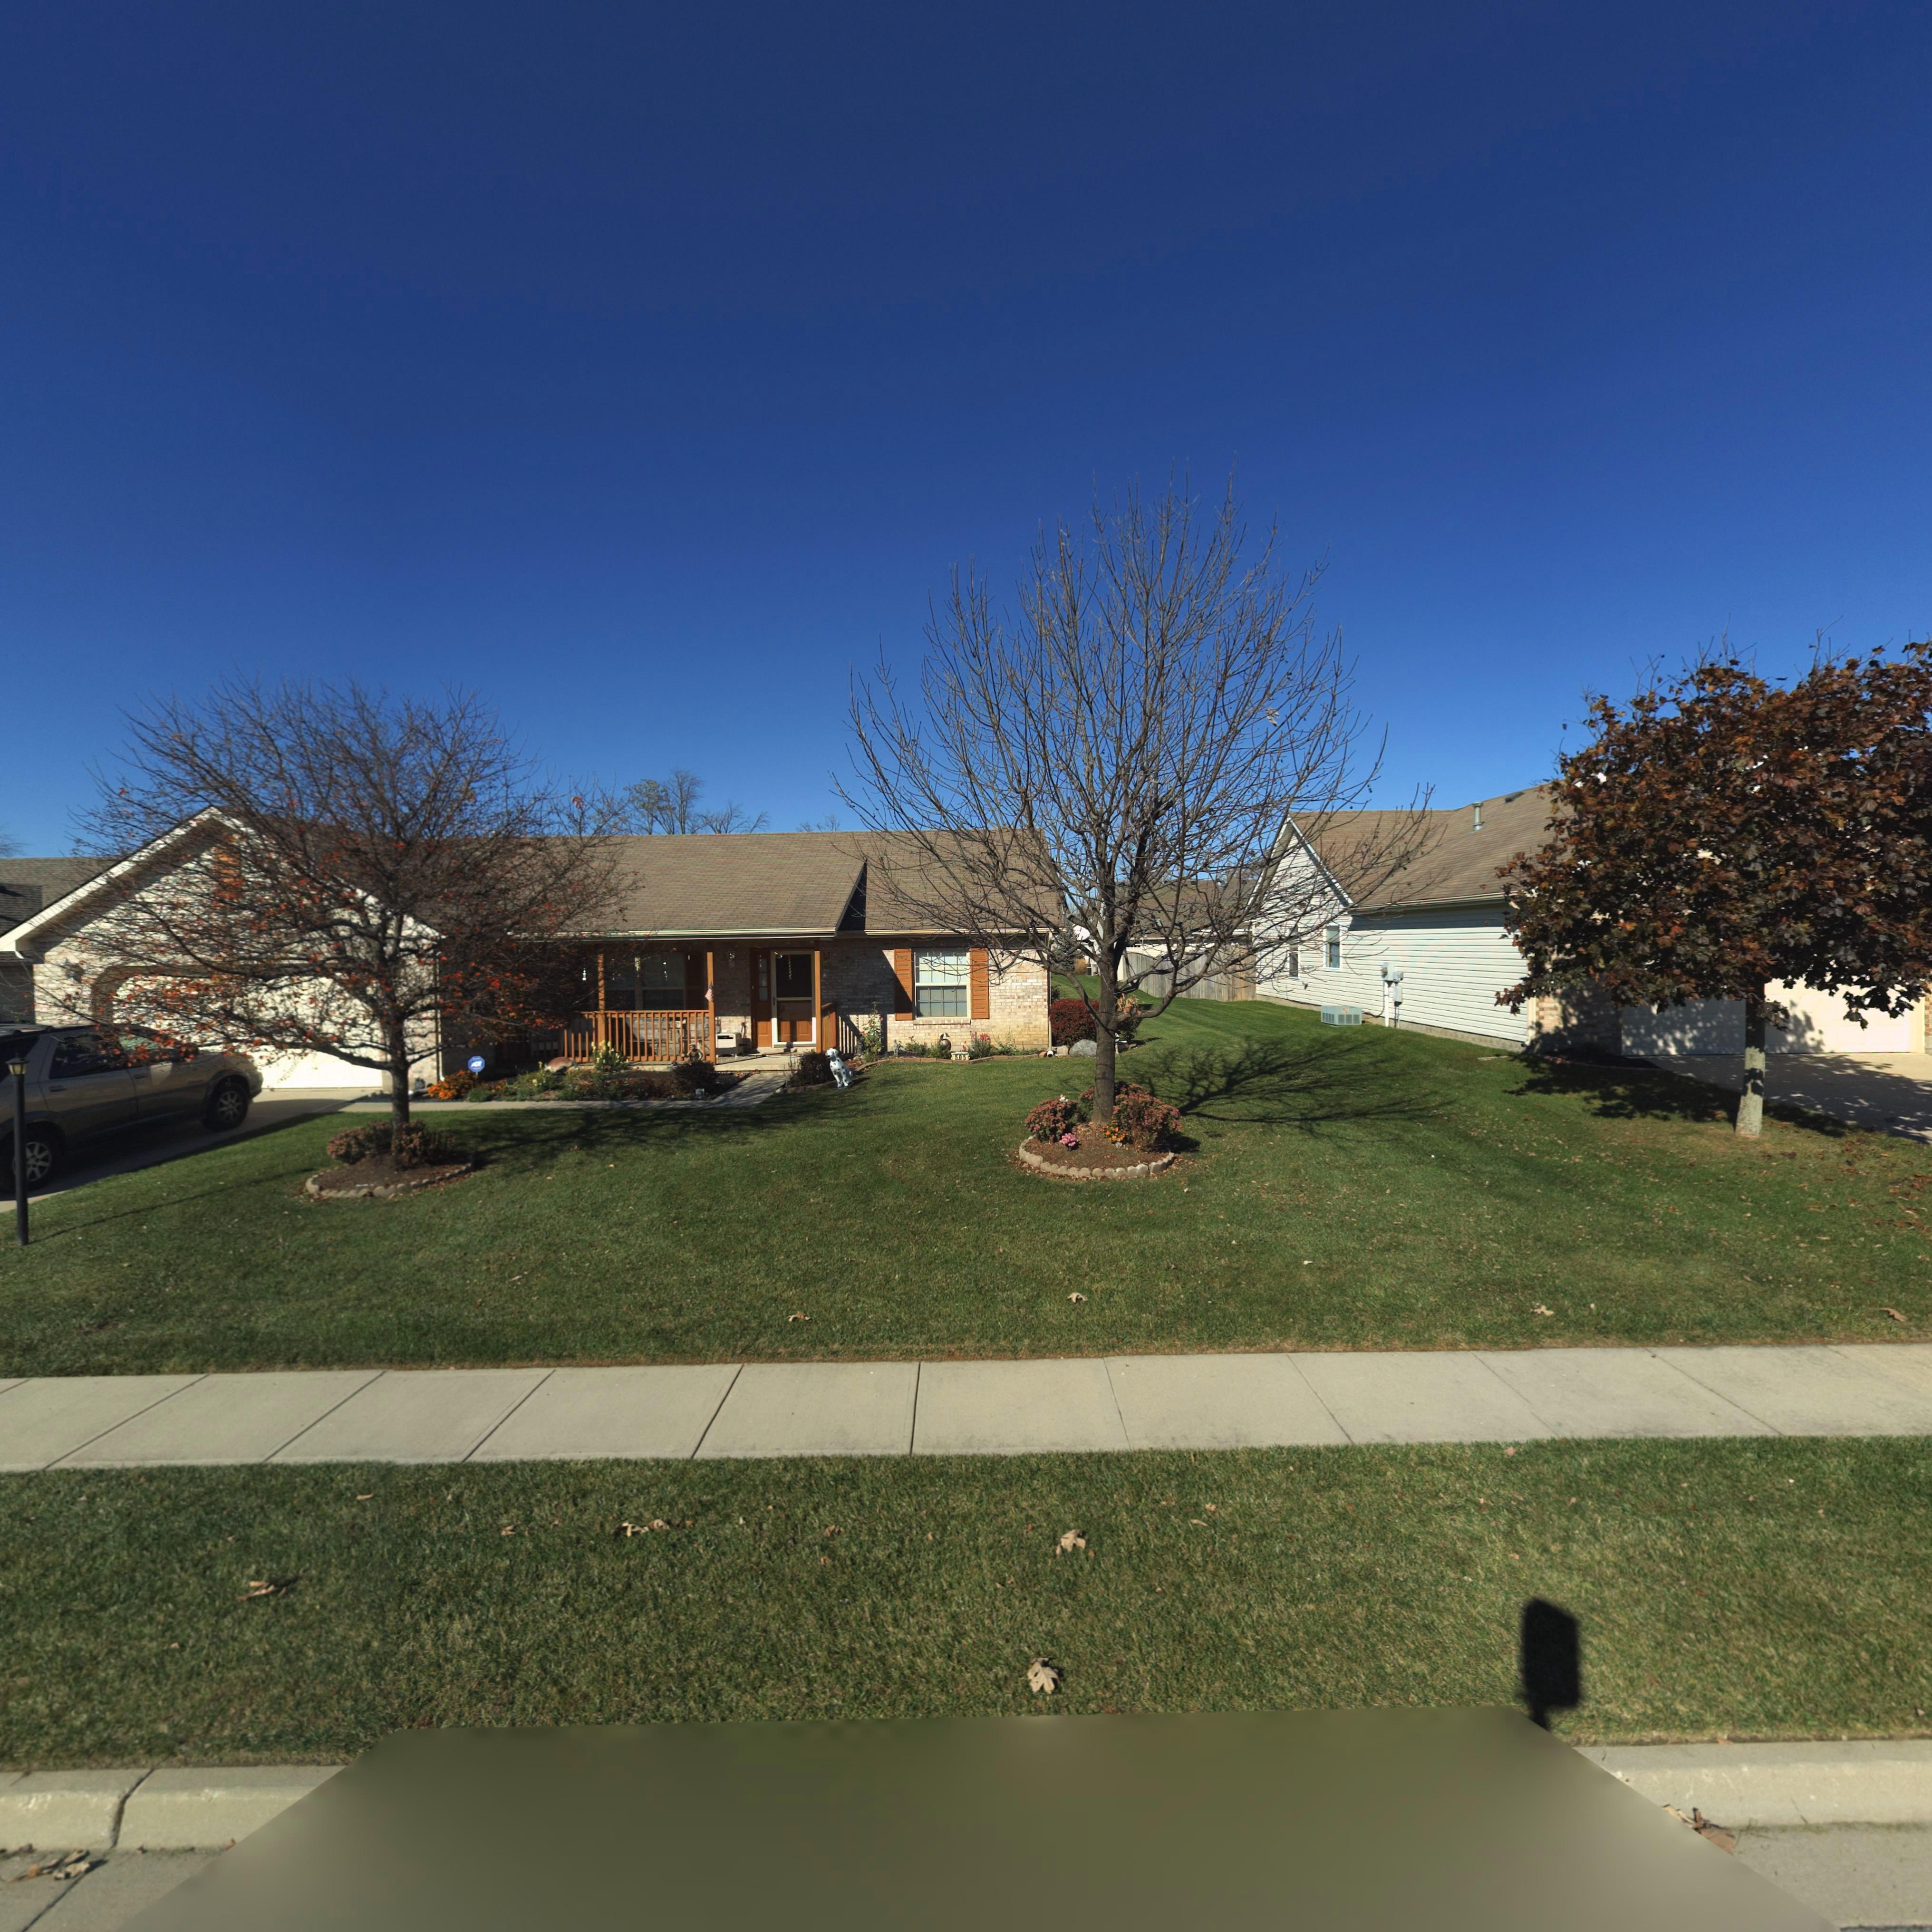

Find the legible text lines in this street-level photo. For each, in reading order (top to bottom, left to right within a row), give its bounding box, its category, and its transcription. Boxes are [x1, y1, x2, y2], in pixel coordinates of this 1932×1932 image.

[955, 1053, 966, 1061] StreetNumber: 505